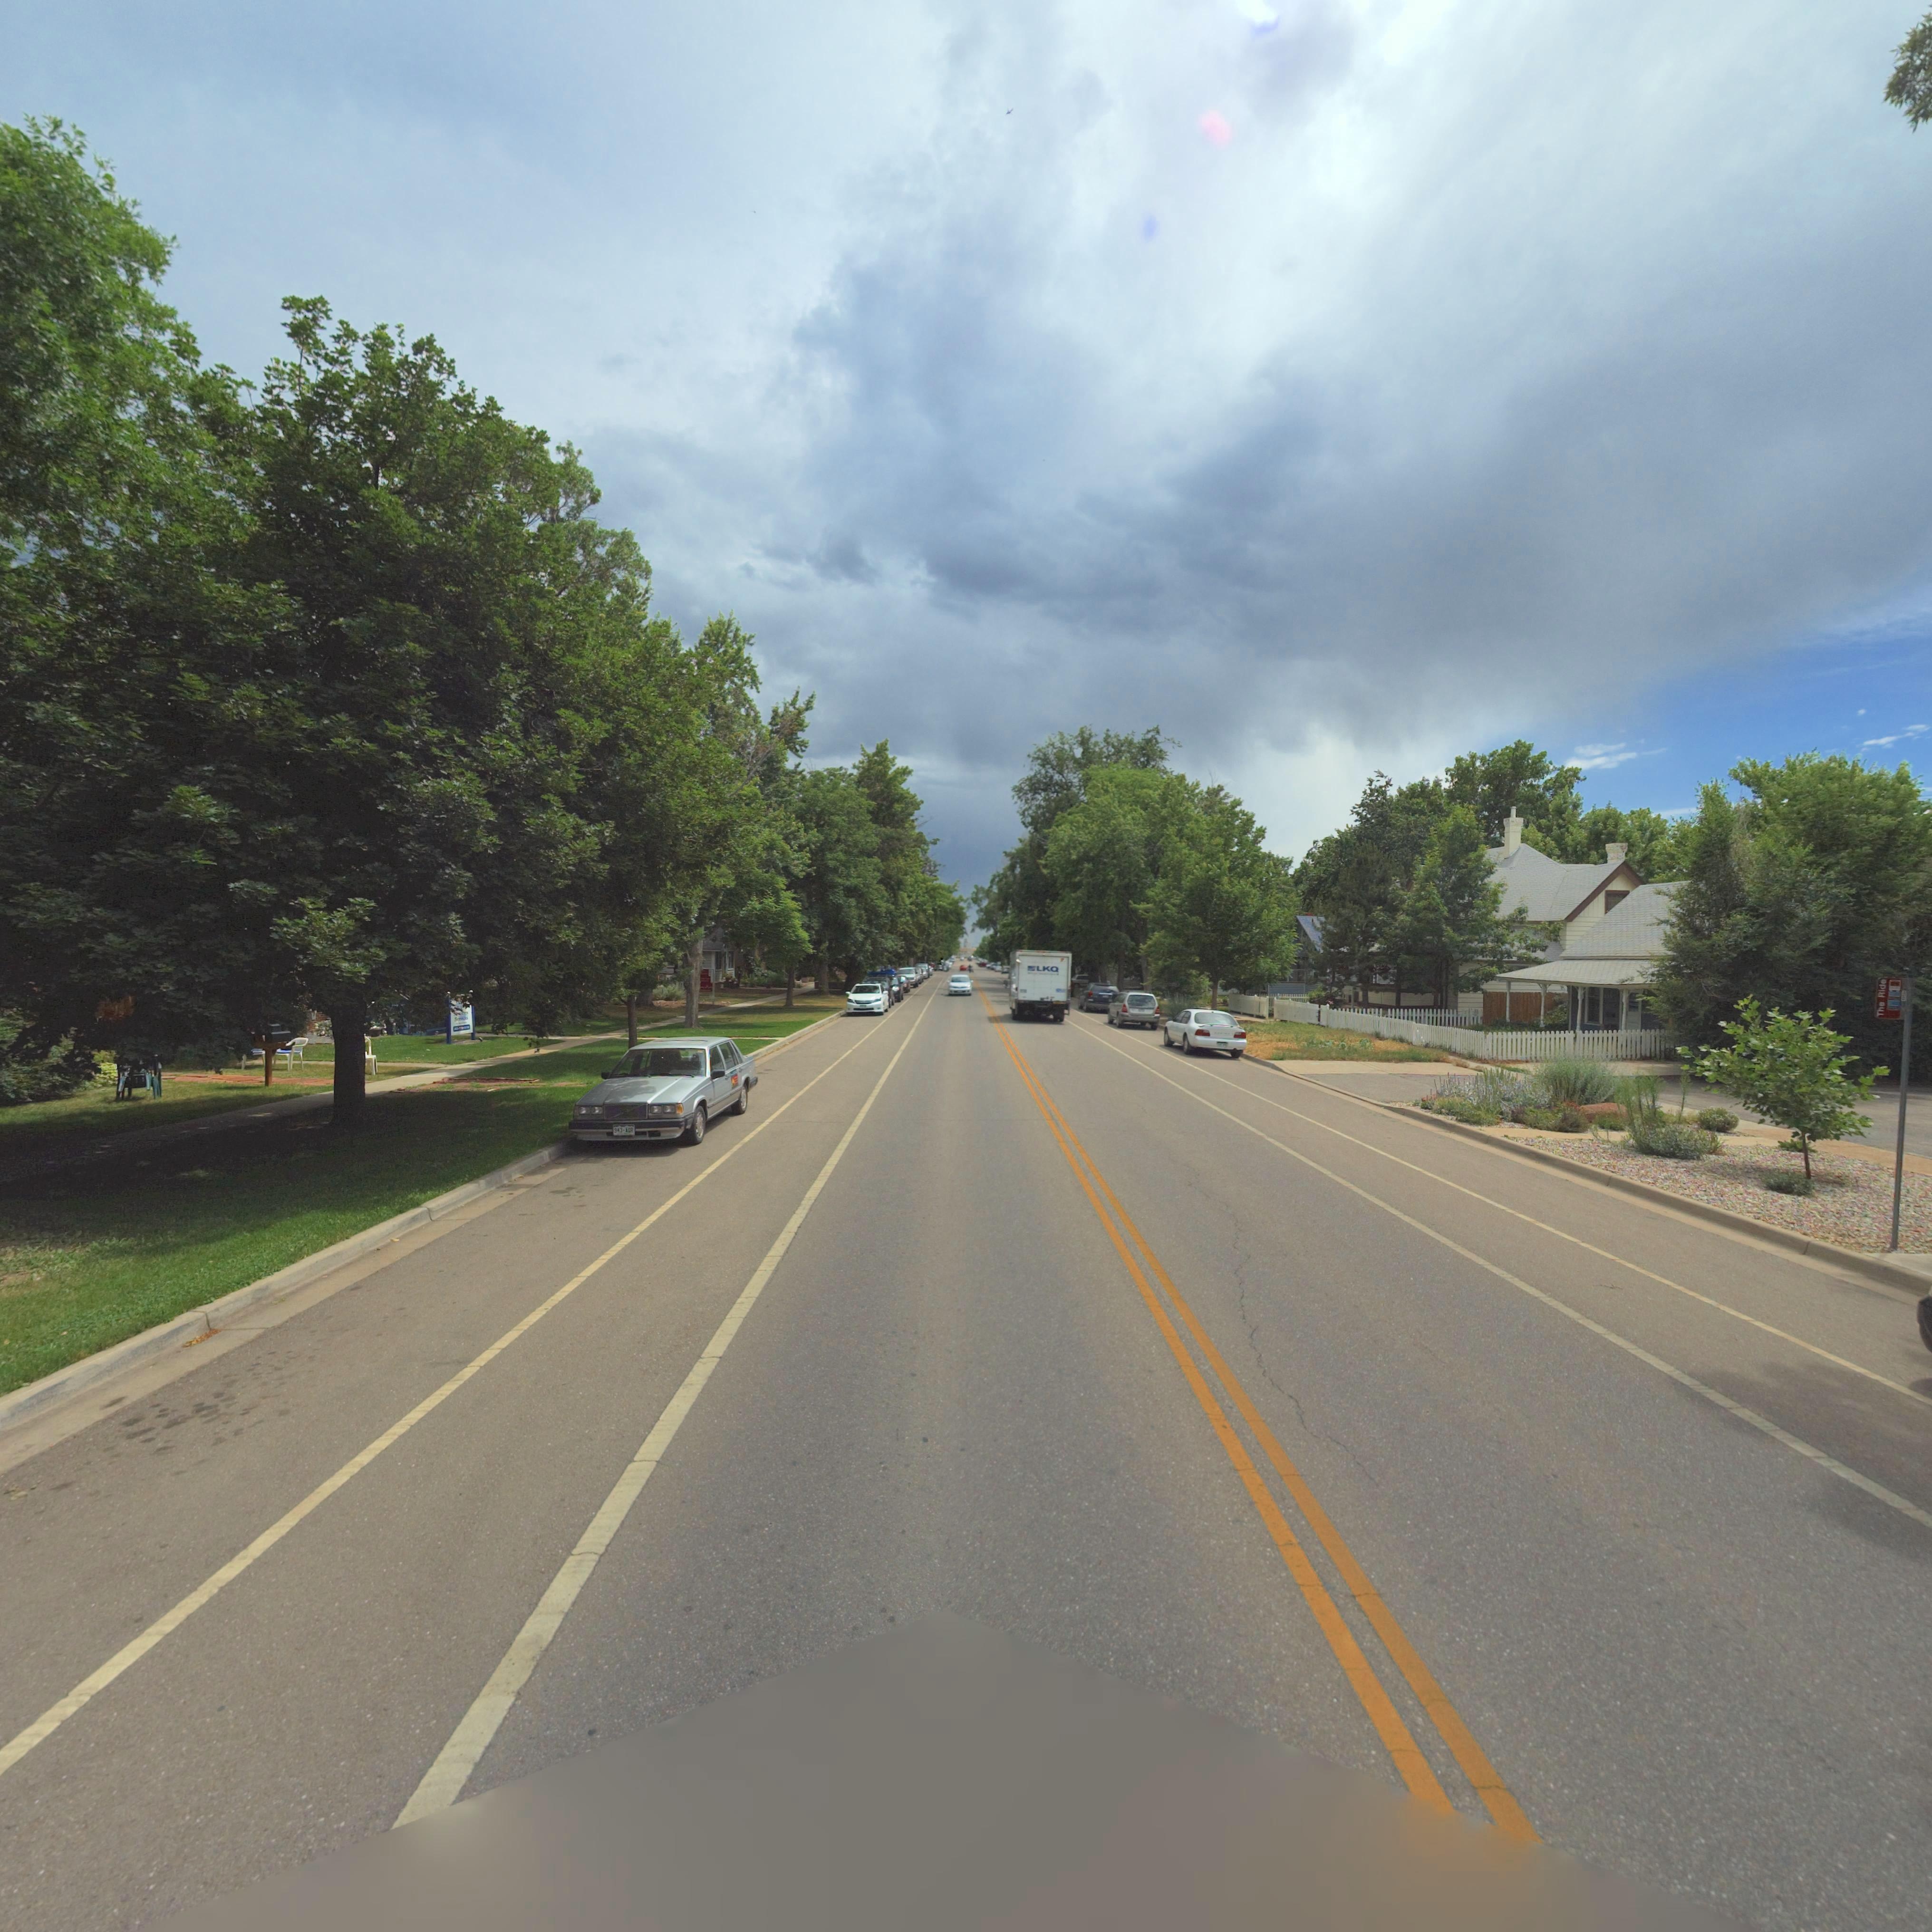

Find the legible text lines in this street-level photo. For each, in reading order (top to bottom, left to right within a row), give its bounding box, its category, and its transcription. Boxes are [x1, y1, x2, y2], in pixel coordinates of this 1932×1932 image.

[1037, 966, 1058, 972] StreetNumber: 410
[453, 1010, 468, 1016] BusinessName: S******